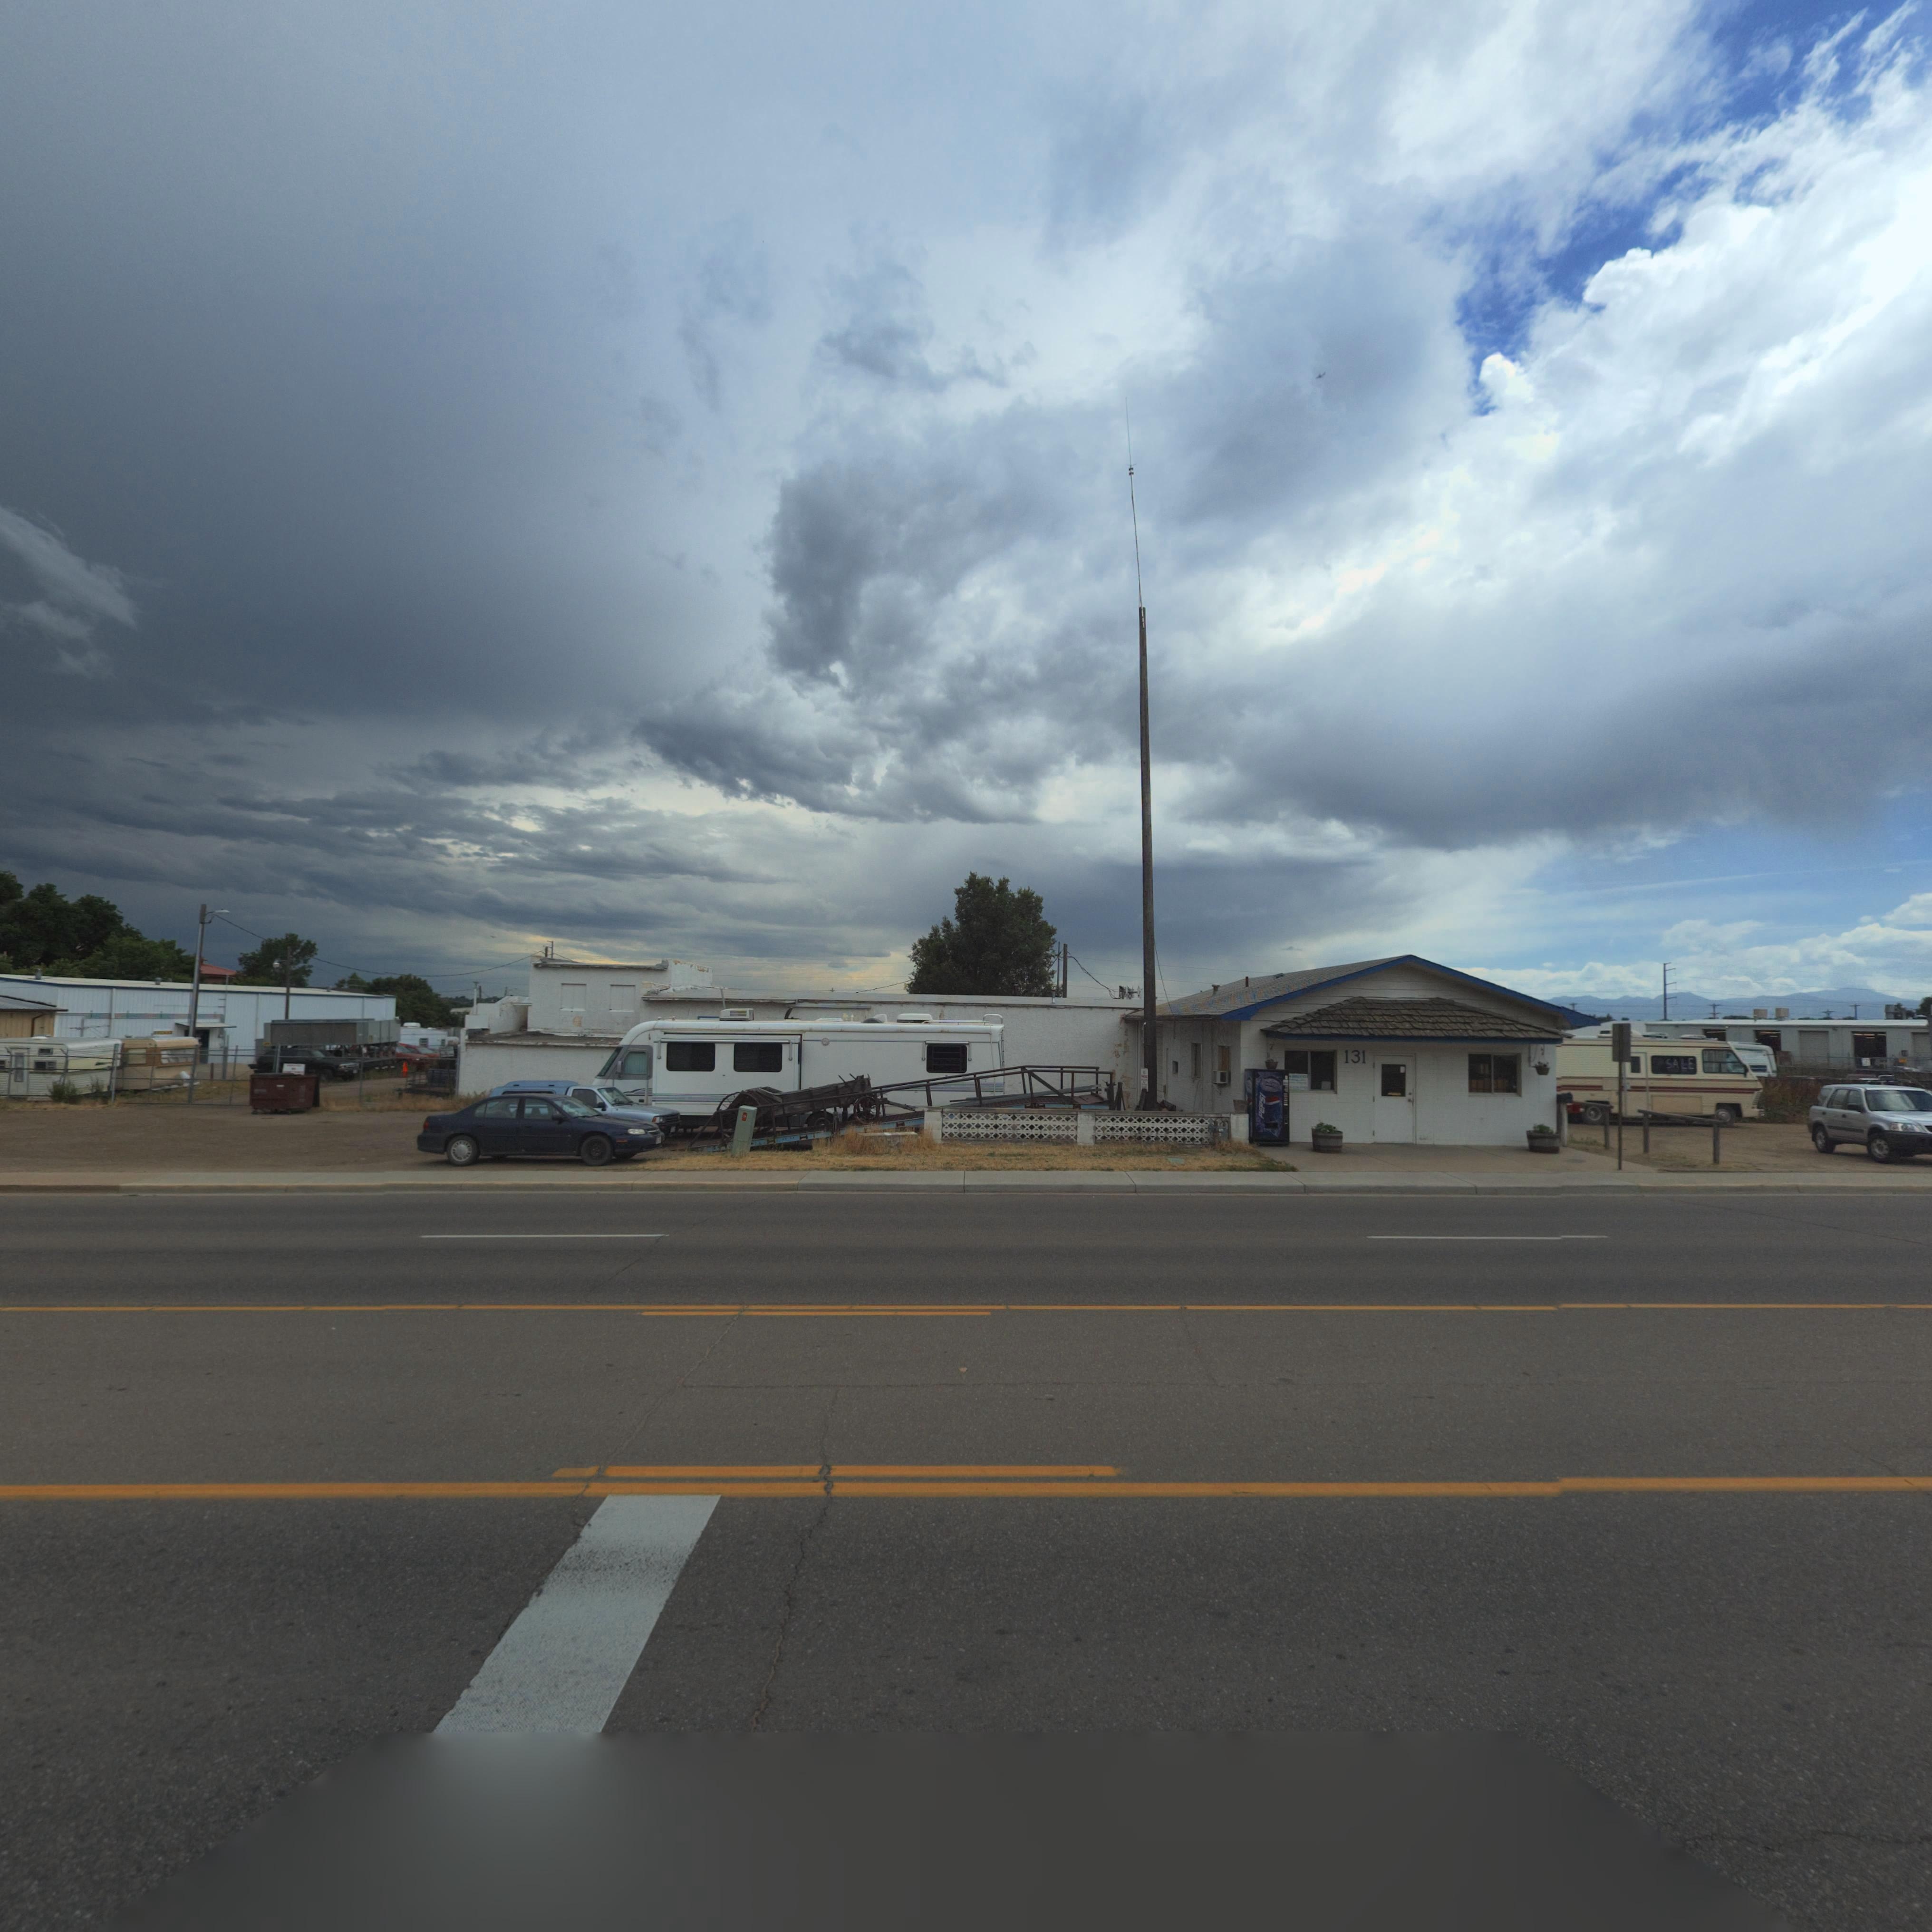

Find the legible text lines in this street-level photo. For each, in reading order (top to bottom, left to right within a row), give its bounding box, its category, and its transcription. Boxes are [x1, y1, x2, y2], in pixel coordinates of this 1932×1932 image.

[1344, 1049, 1366, 1064] StreetNumber: 131